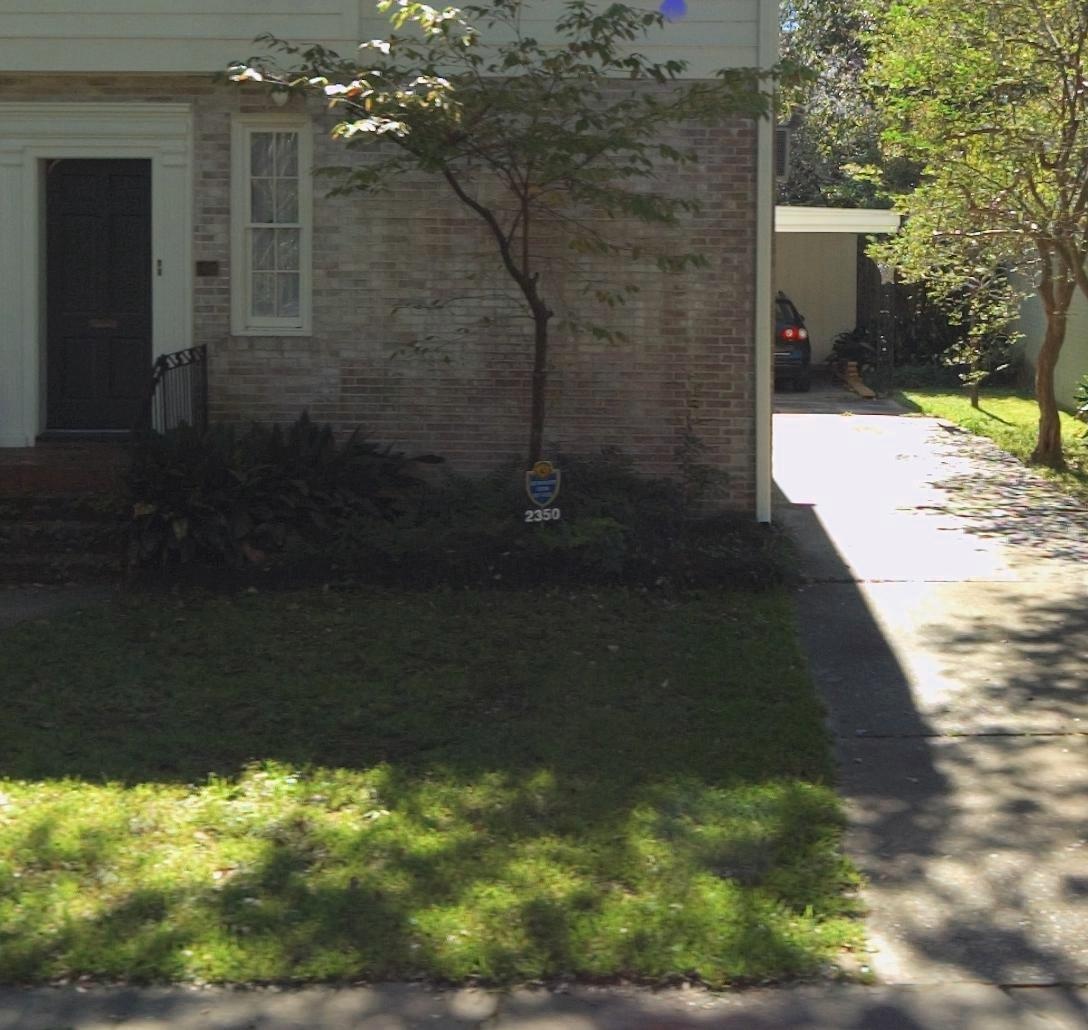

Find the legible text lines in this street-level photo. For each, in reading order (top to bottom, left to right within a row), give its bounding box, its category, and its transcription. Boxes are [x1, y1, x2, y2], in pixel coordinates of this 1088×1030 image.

[523, 506, 563, 525] StreetNumber: 2350